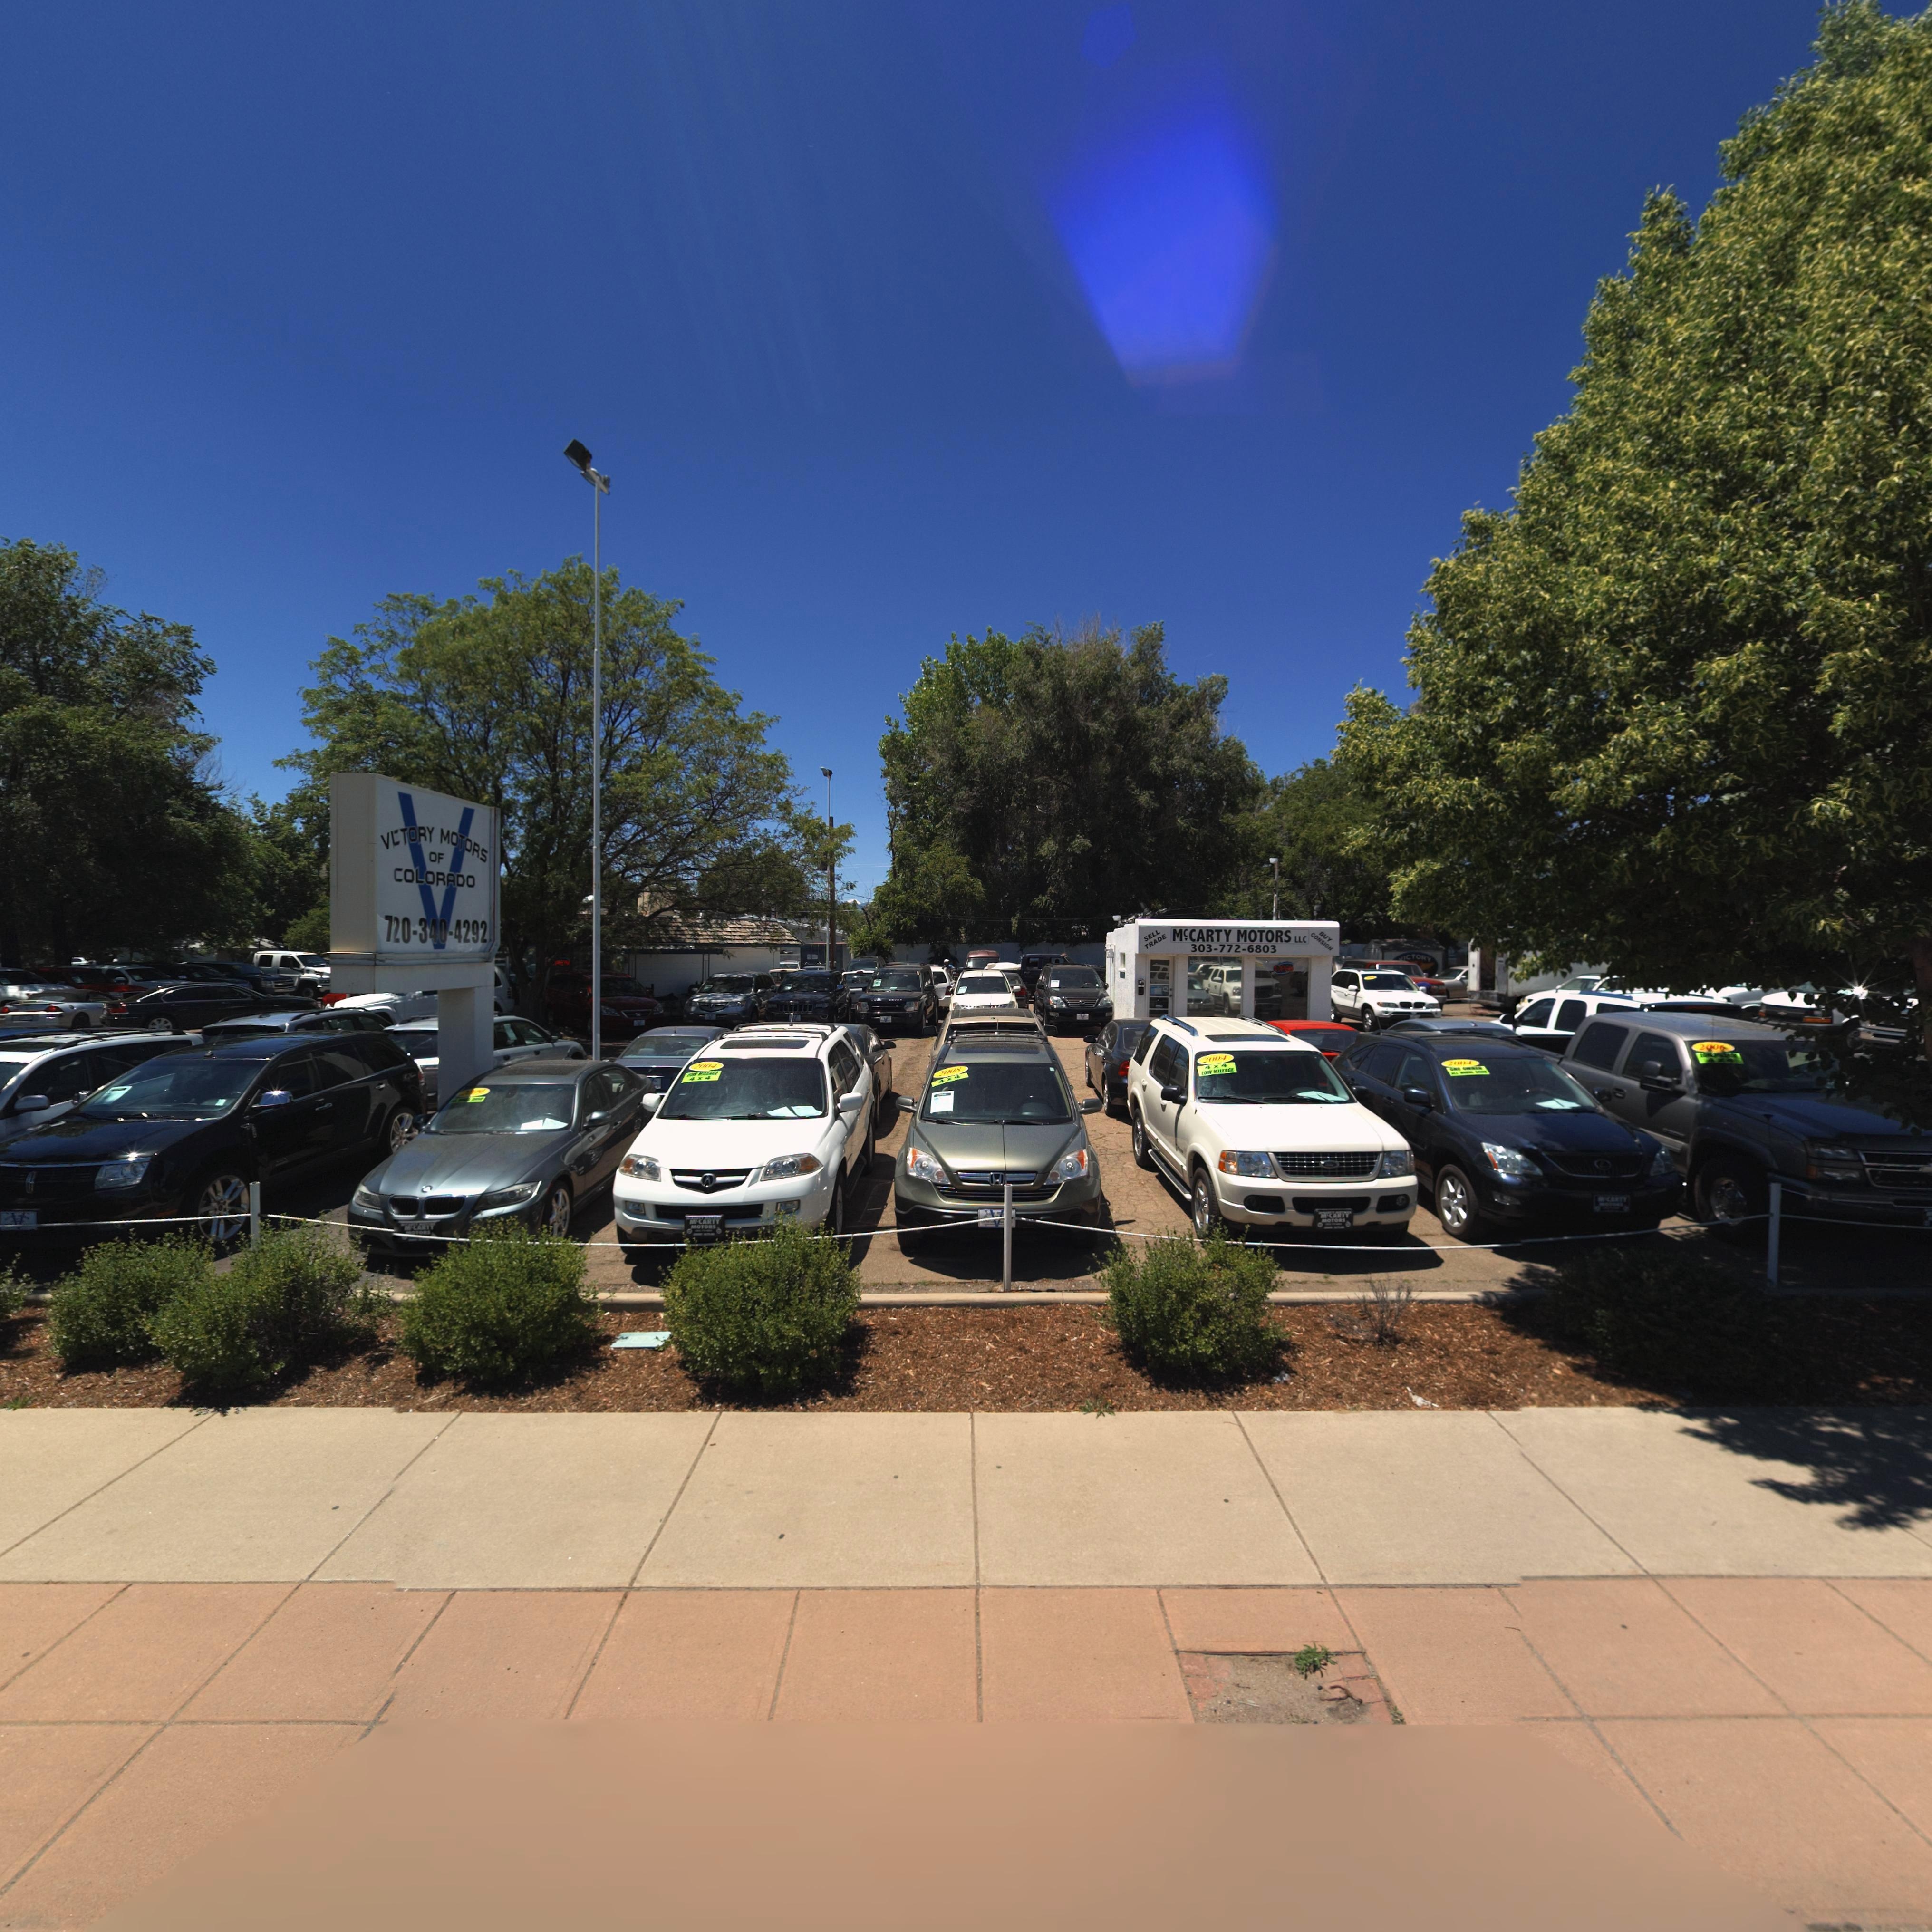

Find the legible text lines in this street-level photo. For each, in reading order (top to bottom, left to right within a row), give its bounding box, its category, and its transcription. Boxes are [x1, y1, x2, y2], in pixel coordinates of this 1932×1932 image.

[378, 825, 489, 864] BusinessName: VICTORY MOTORS
[1172, 928, 1292, 943] BusinessName: McCARTY MOTORS